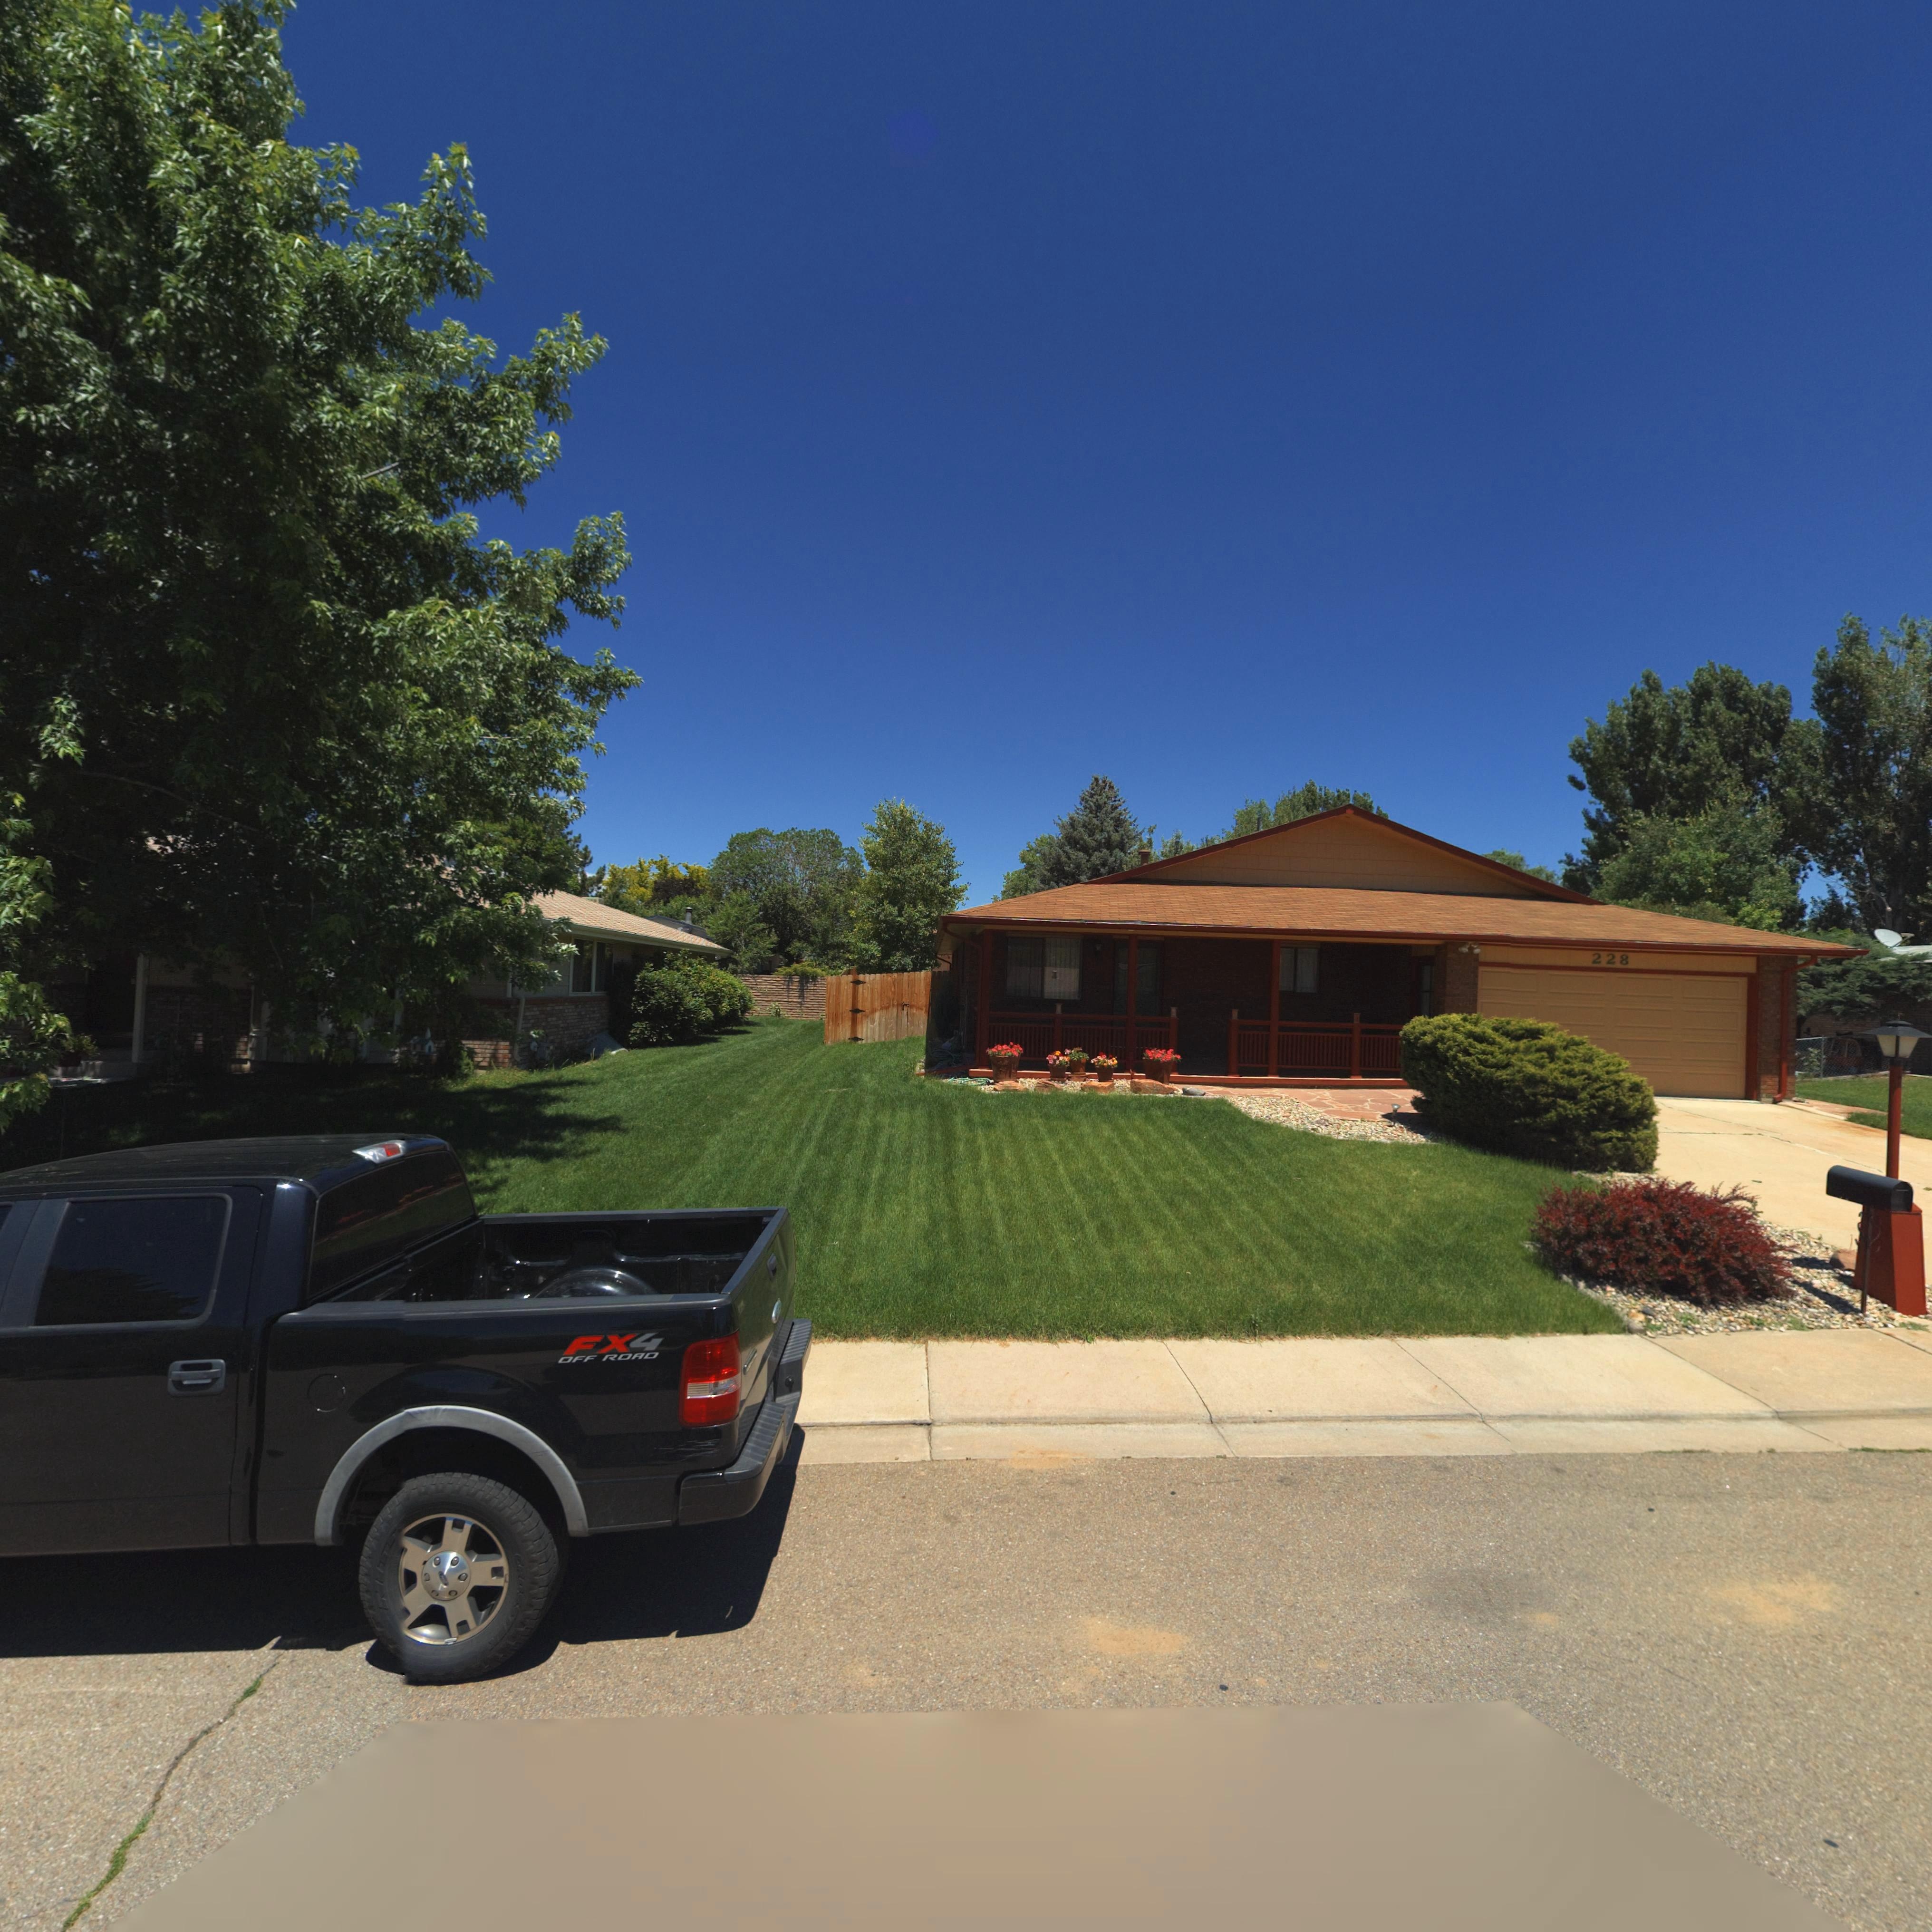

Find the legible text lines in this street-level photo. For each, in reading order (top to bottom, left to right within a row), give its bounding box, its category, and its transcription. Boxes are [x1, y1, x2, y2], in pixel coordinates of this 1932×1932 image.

[1591, 952, 1629, 966] StreetNumber: 228